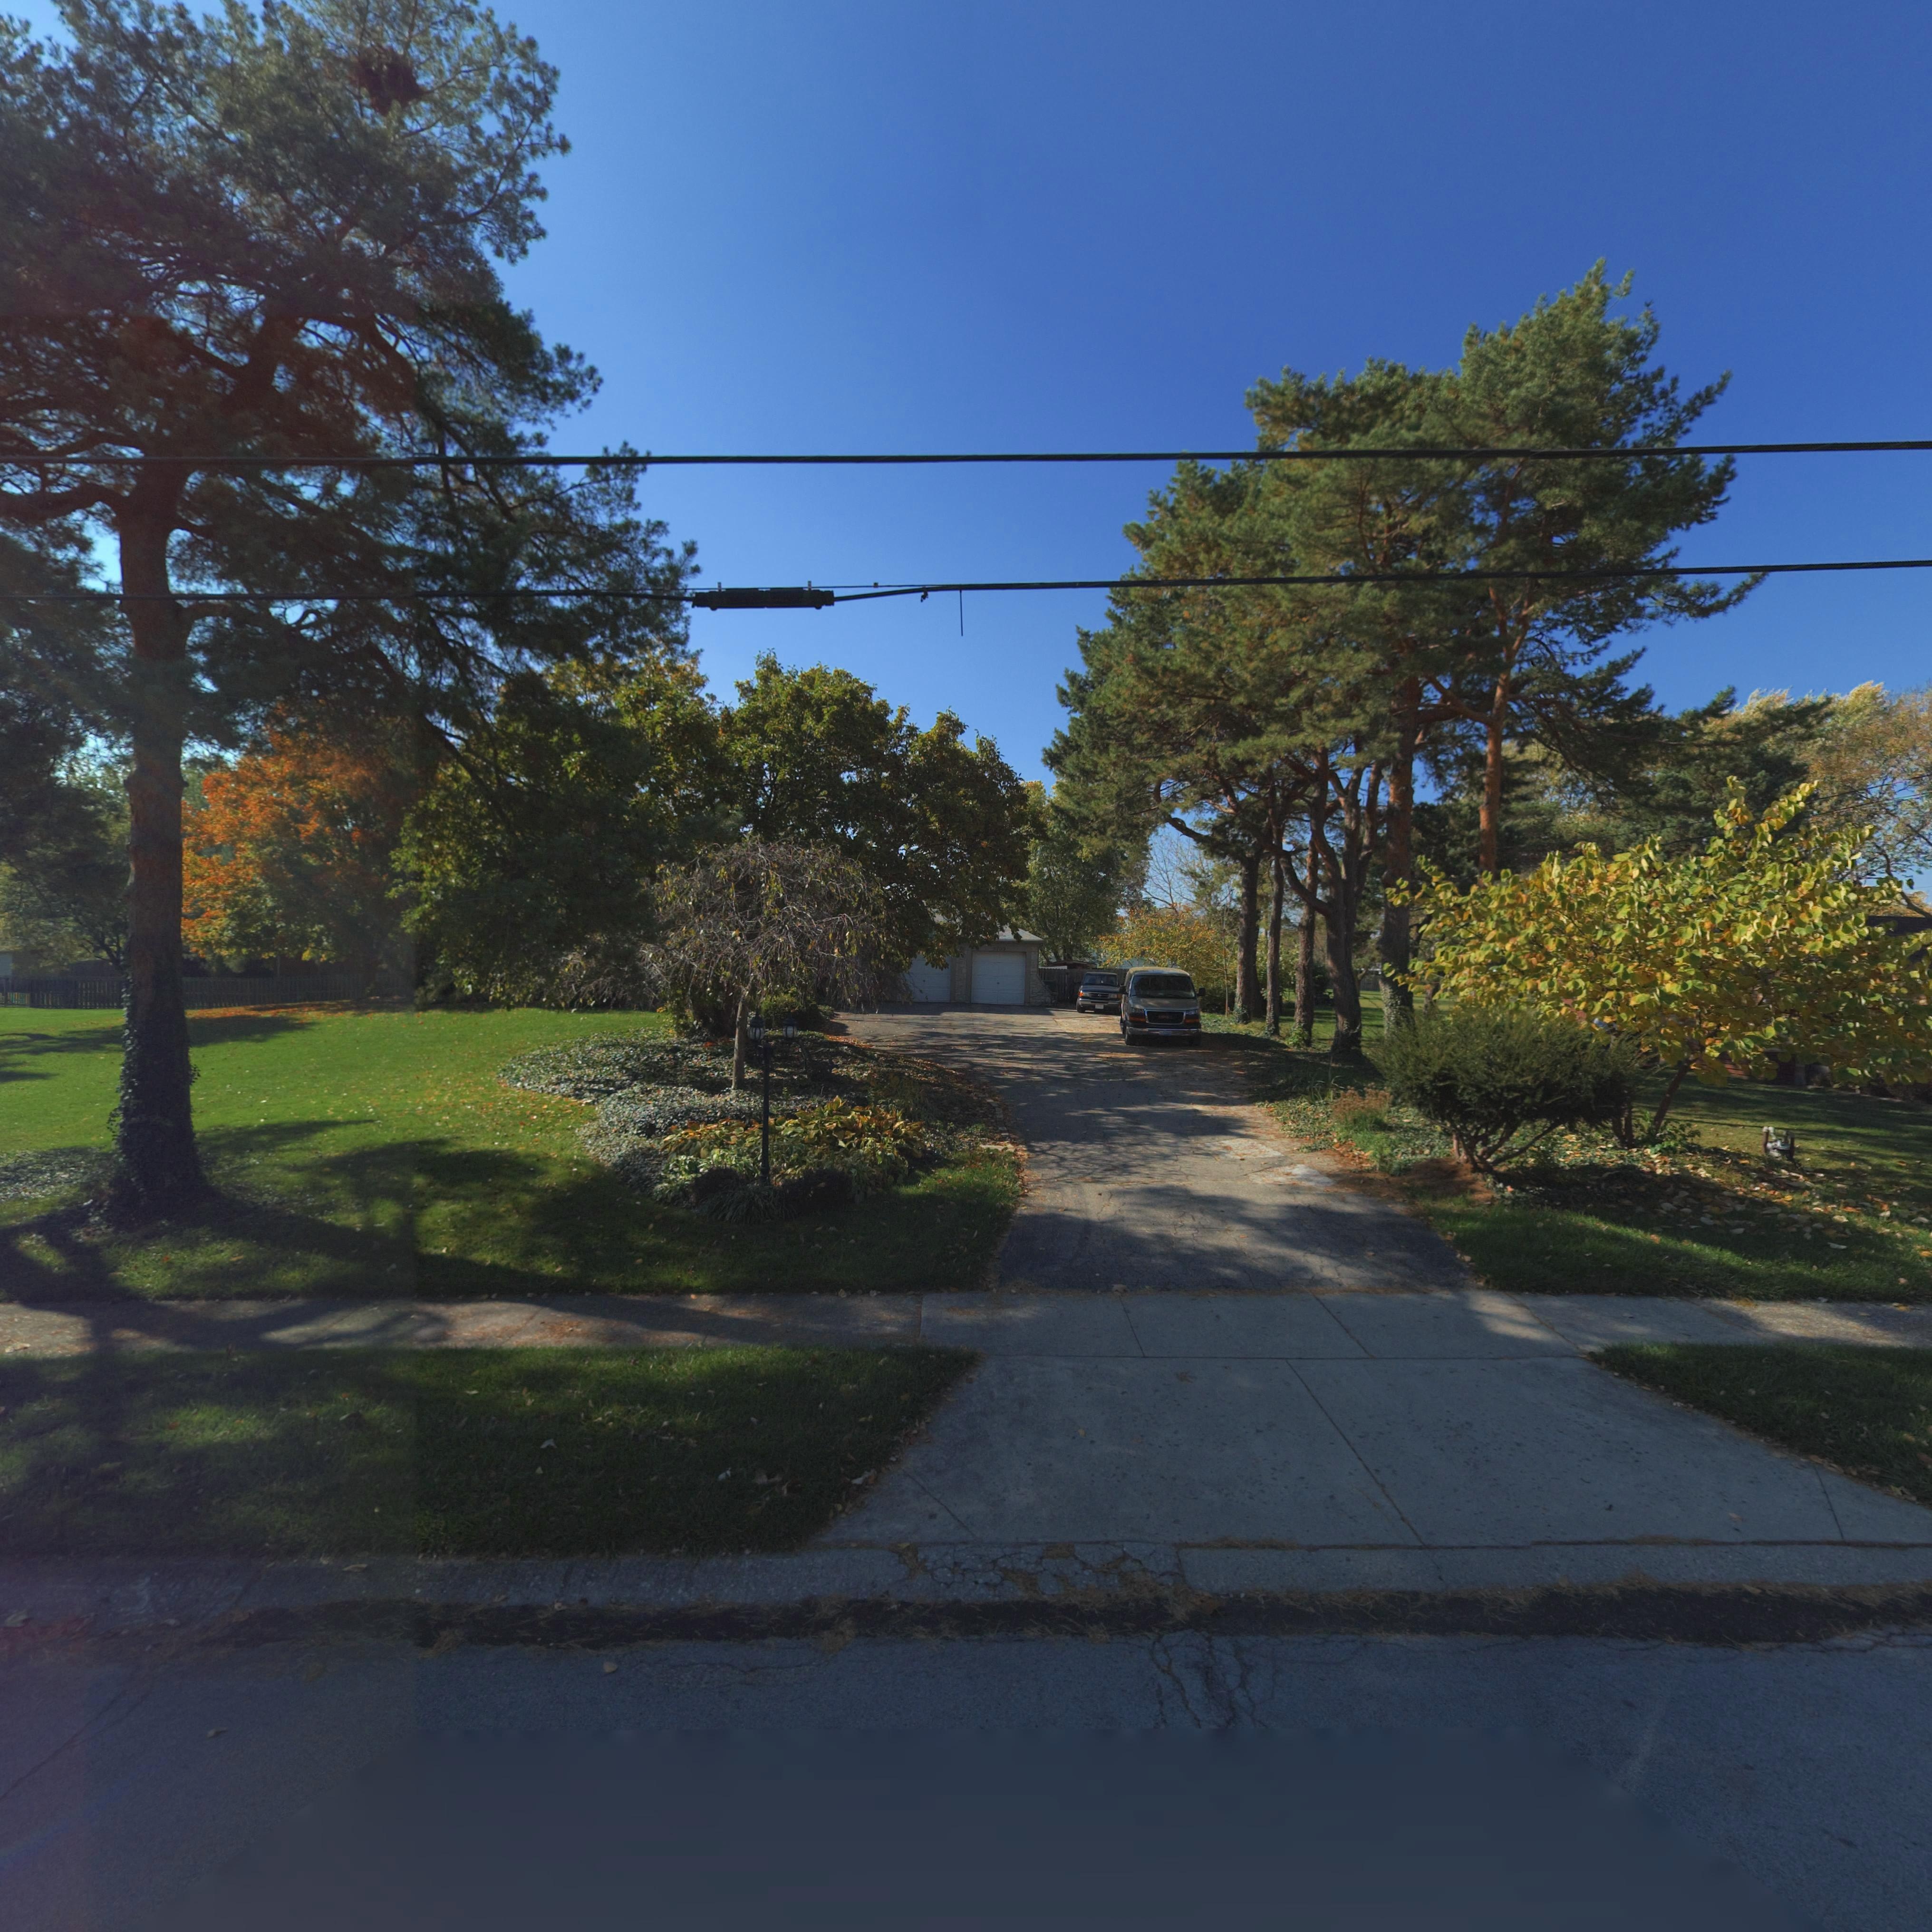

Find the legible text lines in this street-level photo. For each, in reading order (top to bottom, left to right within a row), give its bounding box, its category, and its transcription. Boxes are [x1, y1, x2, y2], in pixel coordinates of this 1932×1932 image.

[1159, 1015, 1171, 1019] None: GMC